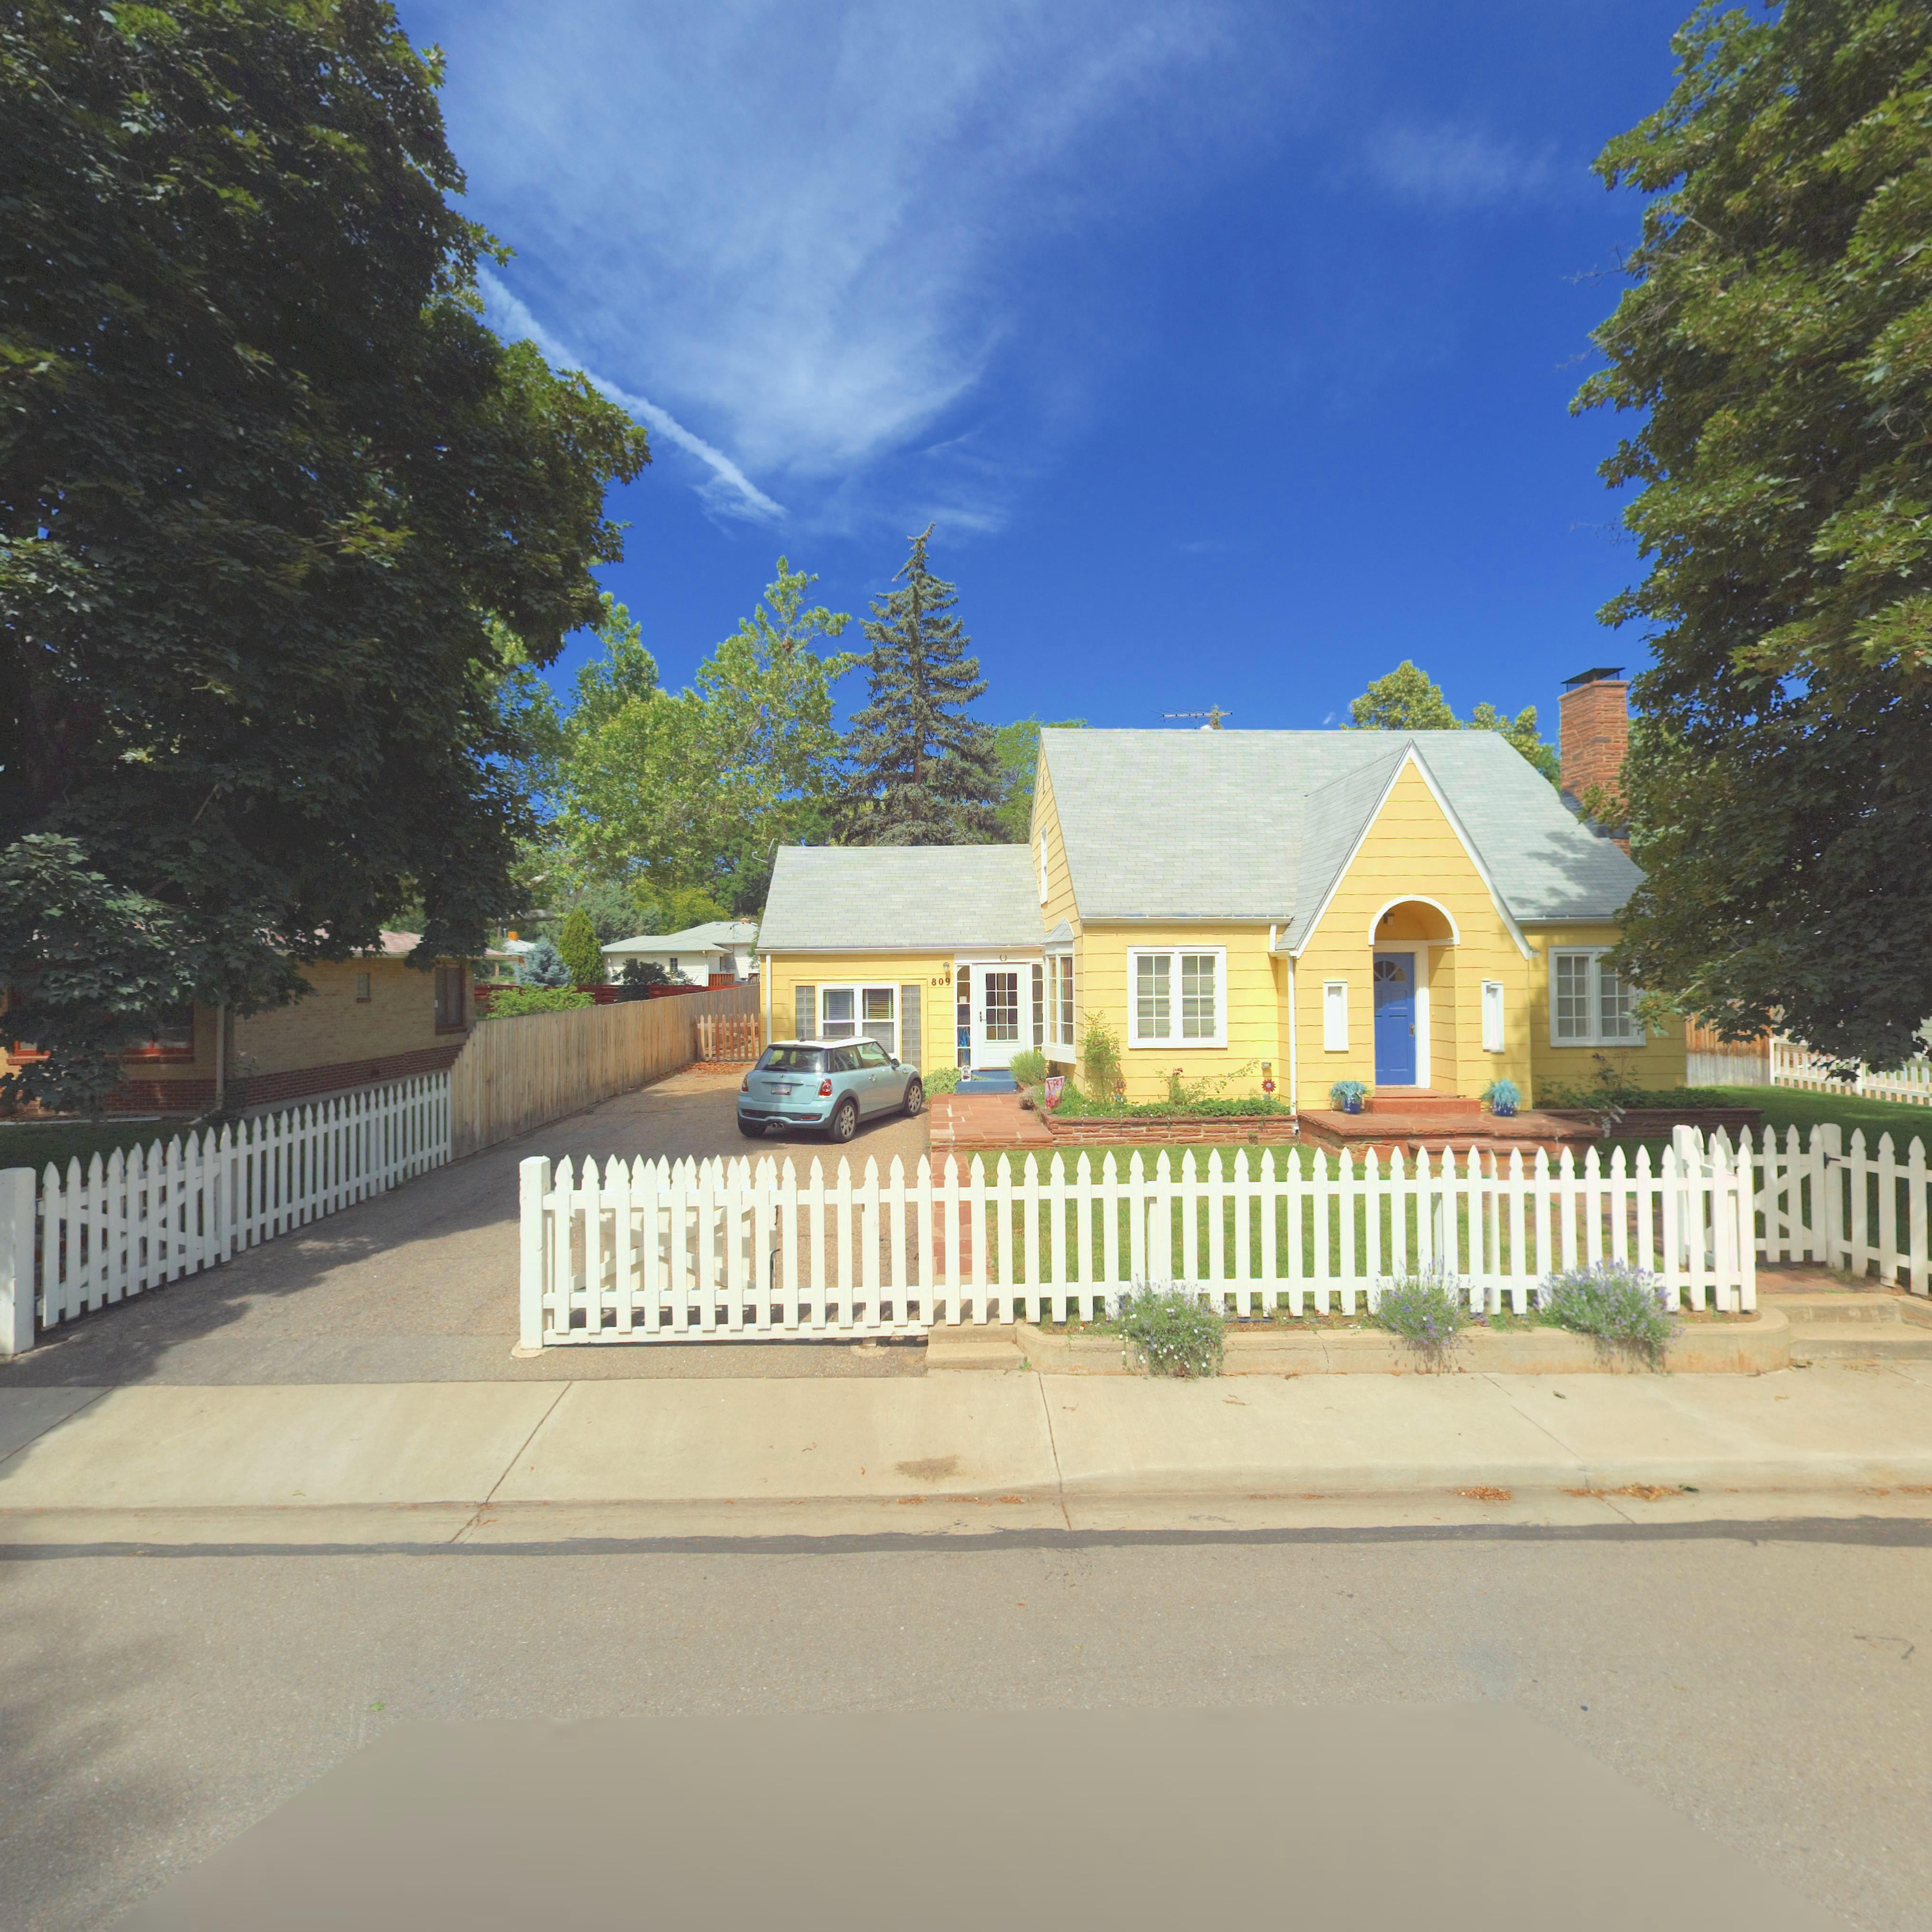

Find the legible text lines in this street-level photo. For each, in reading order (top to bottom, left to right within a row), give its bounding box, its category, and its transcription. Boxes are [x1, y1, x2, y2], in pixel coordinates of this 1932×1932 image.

[931, 977, 950, 985] StreetNumber: 809